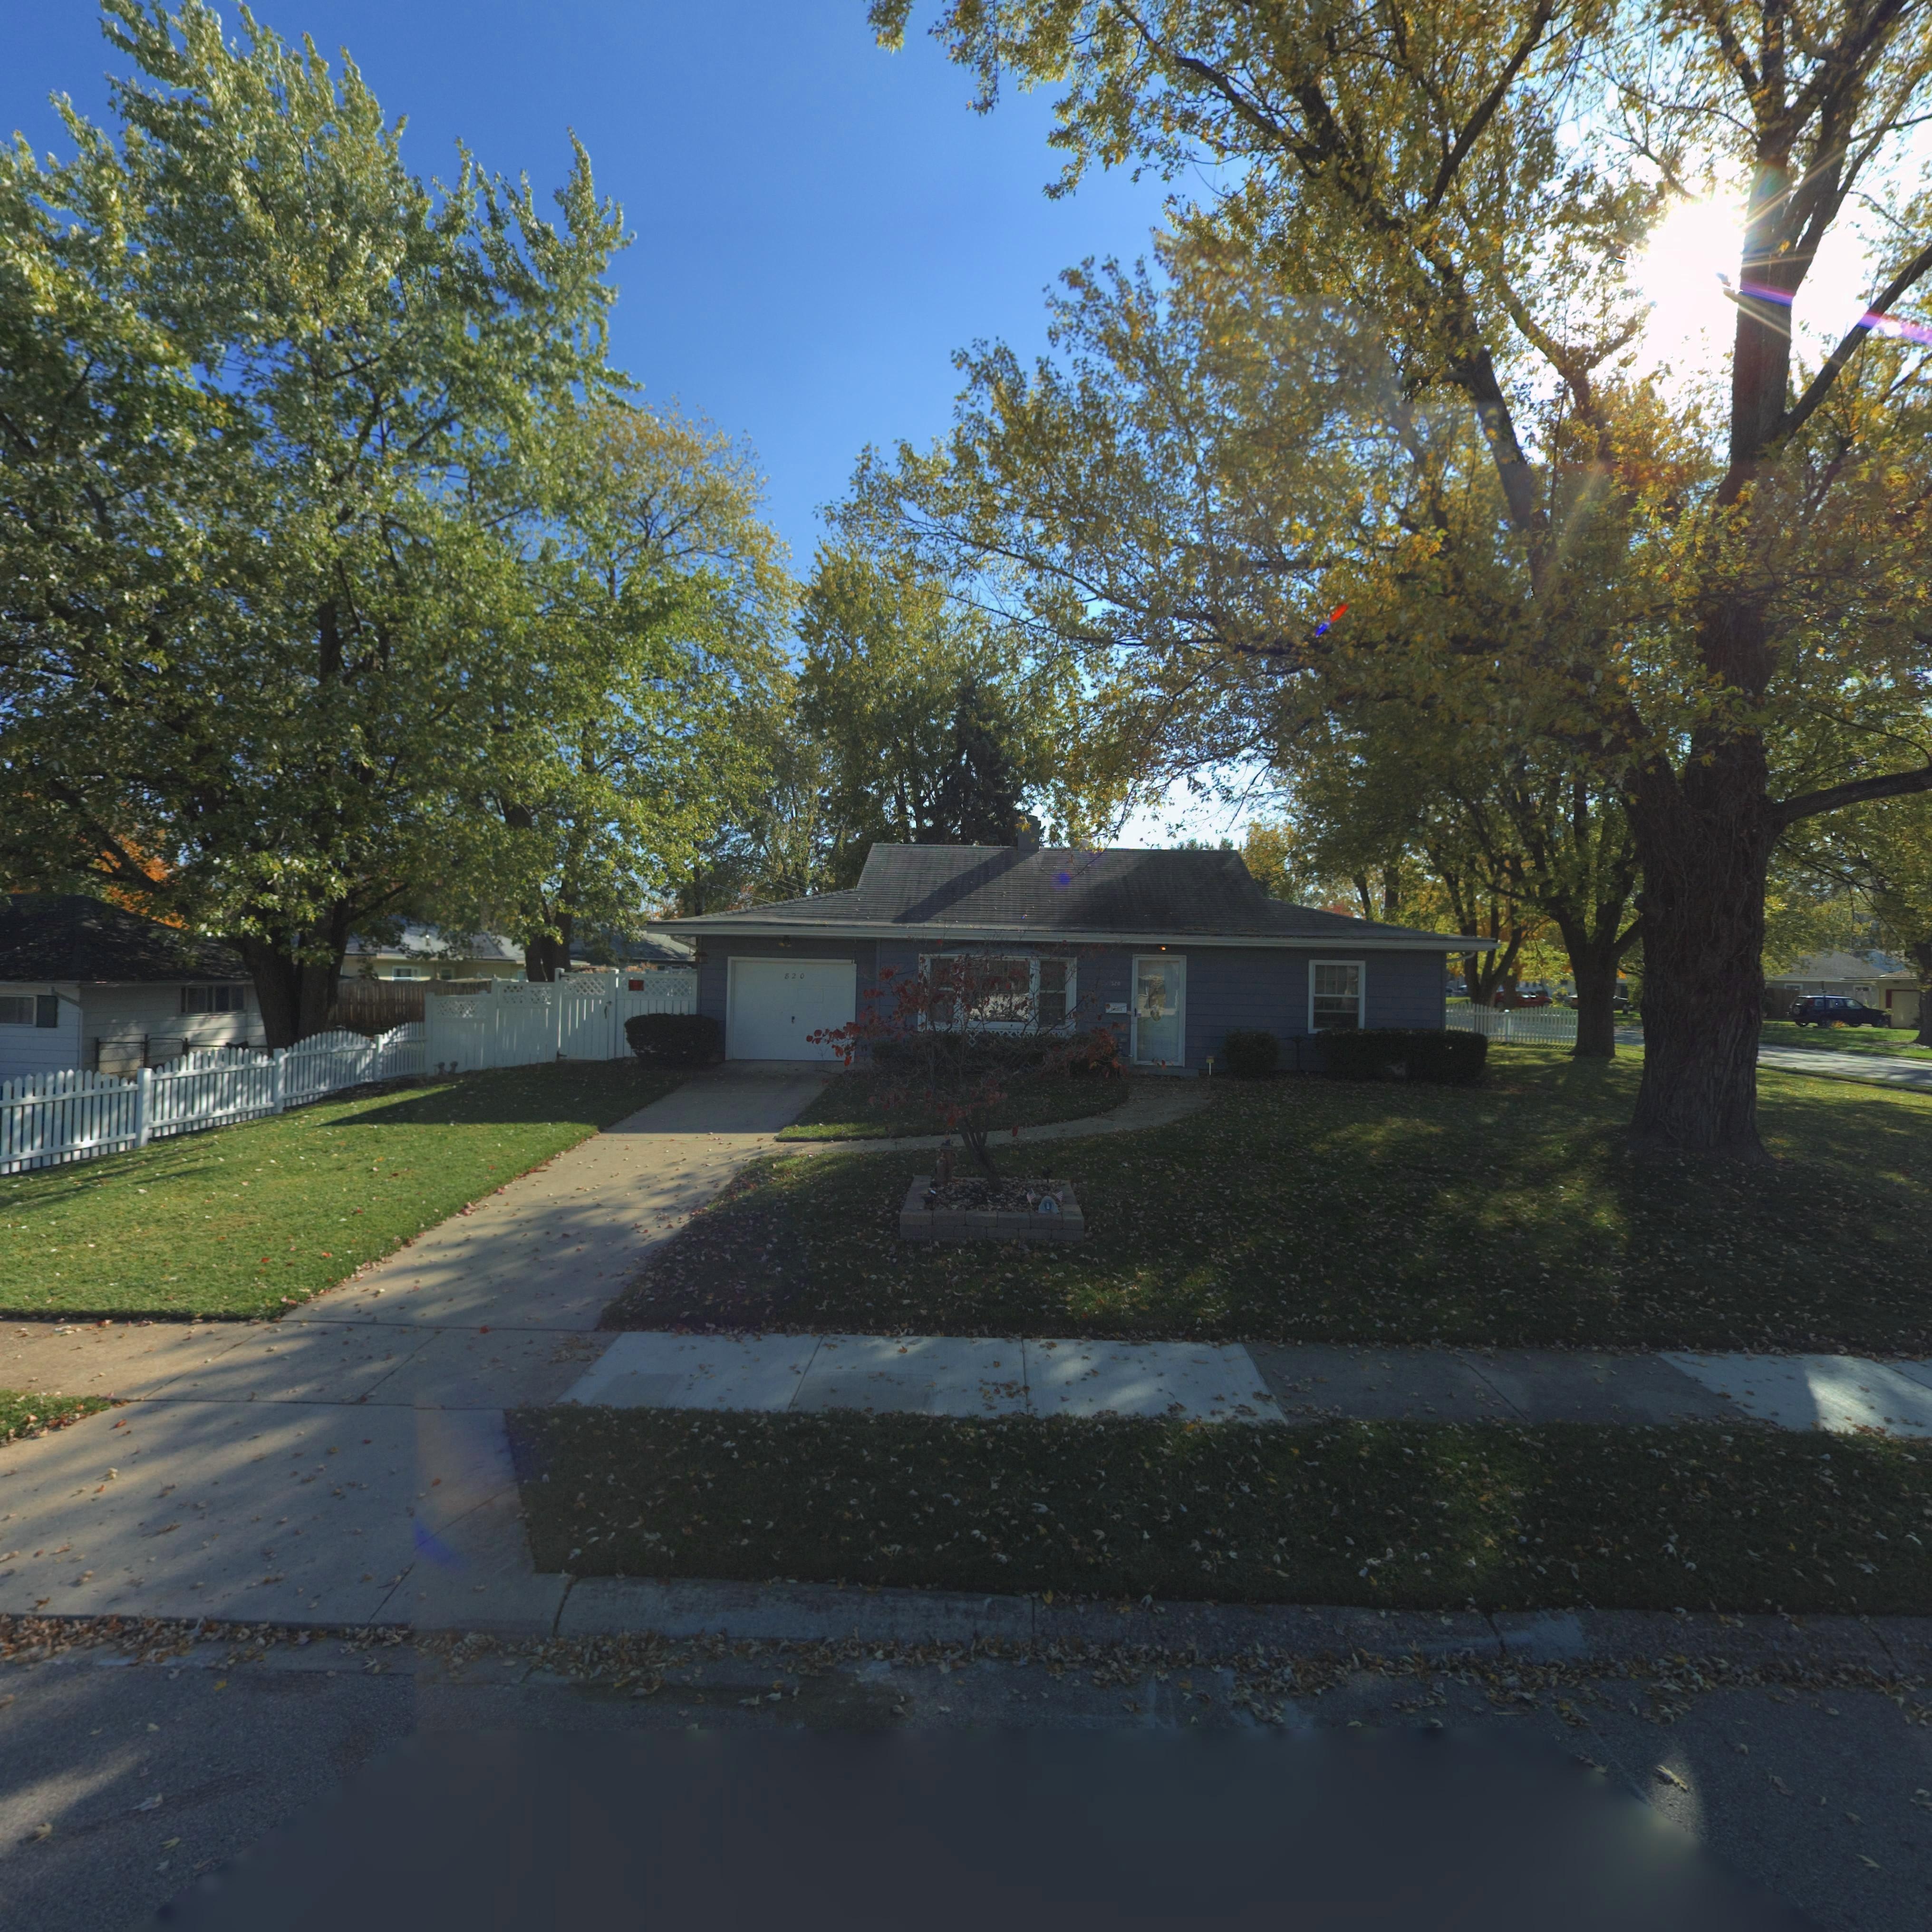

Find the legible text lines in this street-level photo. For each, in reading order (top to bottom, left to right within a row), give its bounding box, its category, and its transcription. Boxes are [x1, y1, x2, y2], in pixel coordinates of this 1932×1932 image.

[784, 972, 805, 980] StreetNumber: 820
[1110, 981, 1121, 986] StreetNumber: 820